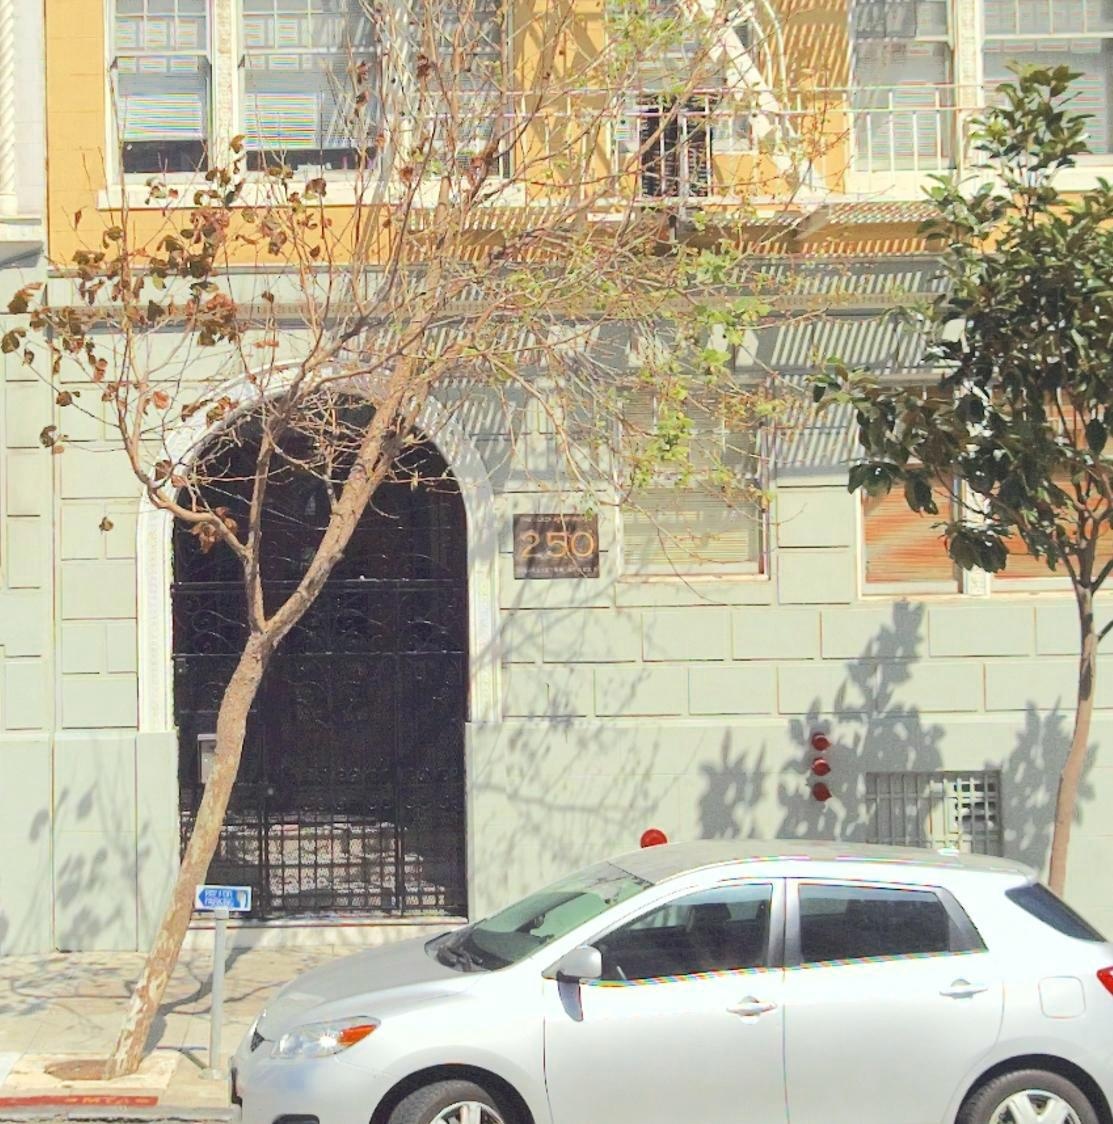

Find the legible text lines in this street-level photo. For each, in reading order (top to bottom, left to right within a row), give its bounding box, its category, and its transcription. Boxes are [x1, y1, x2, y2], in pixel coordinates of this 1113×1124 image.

[520, 531, 594, 558] StreetNumber: 250